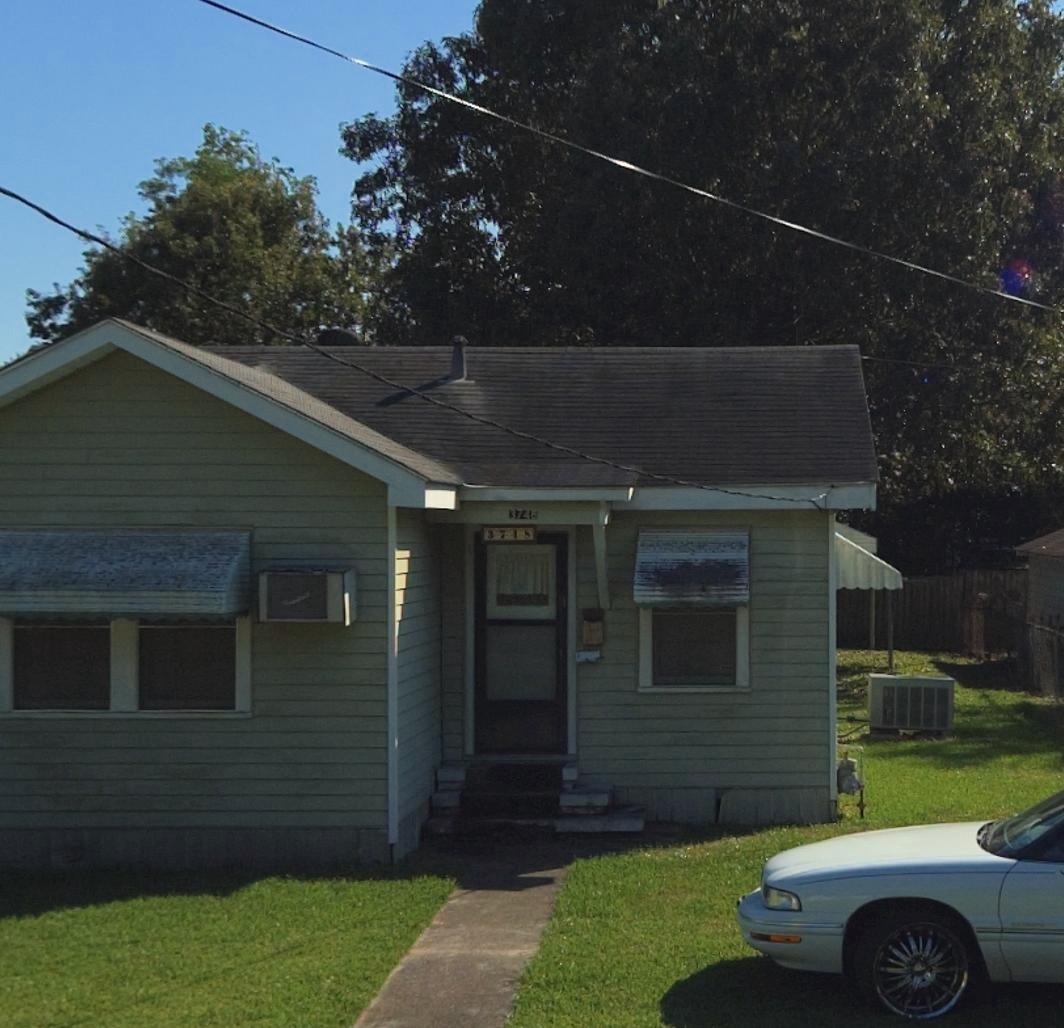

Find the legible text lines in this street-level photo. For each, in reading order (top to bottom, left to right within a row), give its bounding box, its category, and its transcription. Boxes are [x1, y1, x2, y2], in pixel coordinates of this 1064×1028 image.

[509, 509, 539, 520] StreetNumber: 3748
[486, 528, 531, 540] StreetNumber: 3748